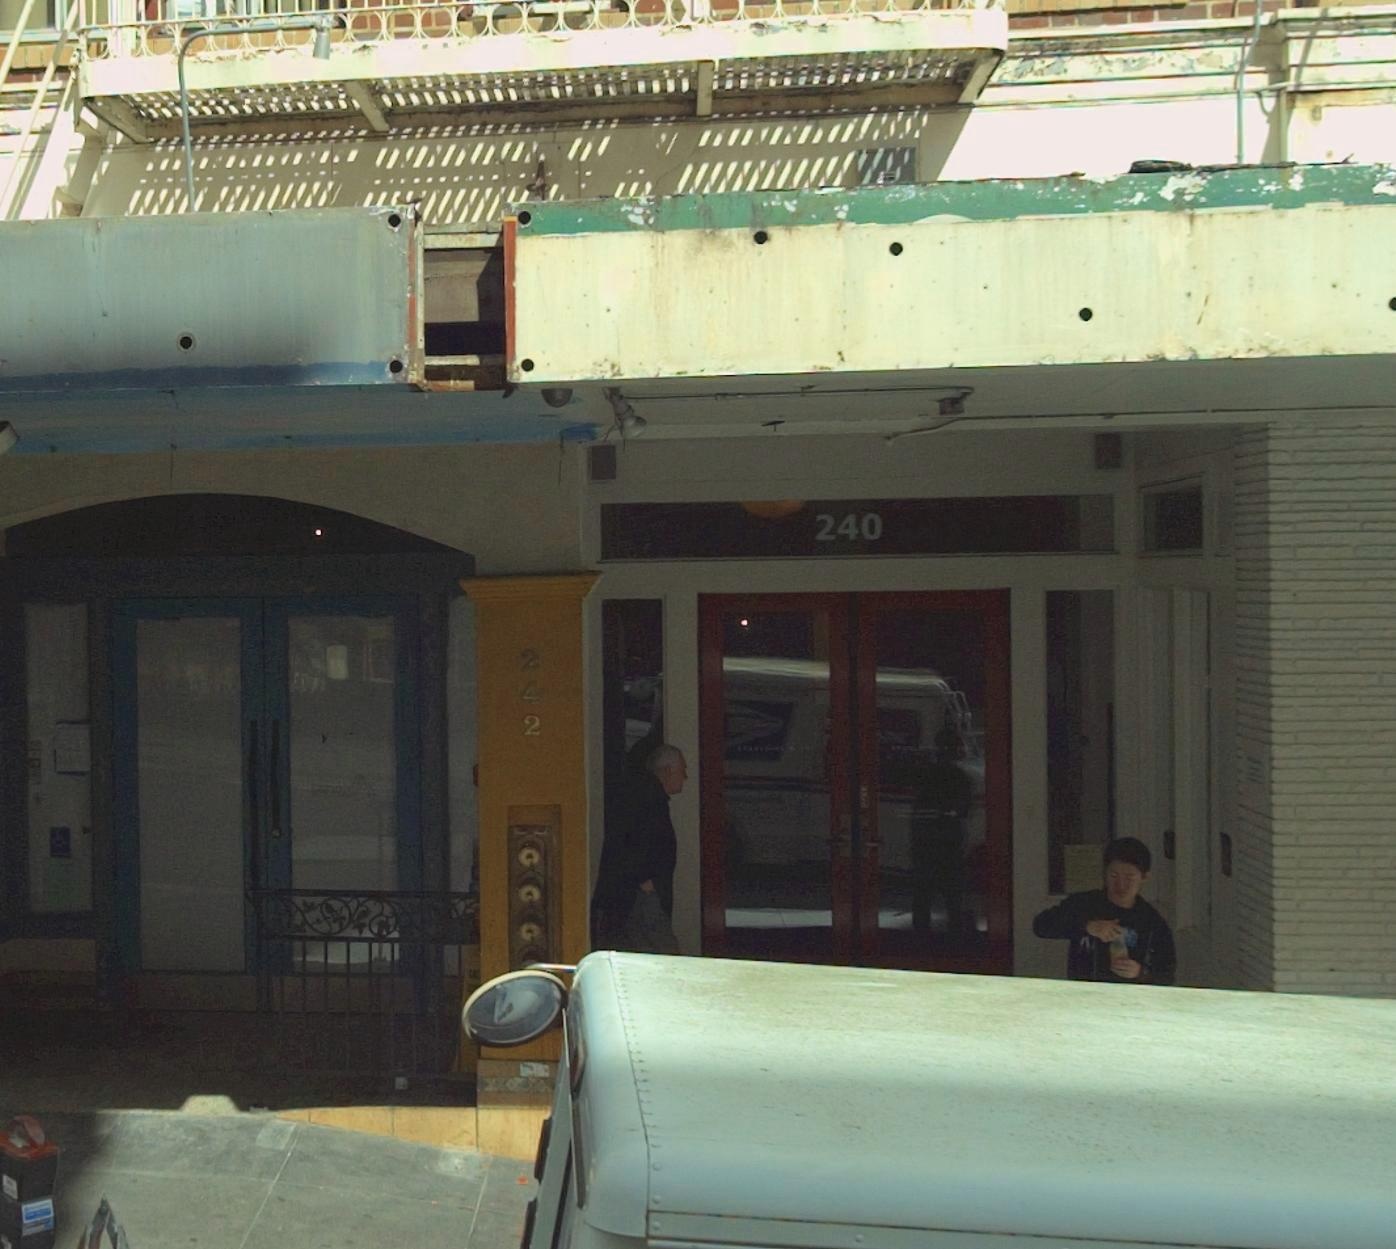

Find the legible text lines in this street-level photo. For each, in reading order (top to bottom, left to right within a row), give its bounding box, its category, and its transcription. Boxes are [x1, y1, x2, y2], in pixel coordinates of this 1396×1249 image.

[811, 510, 886, 544] StreetNumber: 240
[517, 644, 544, 740] StreetNumber: 242